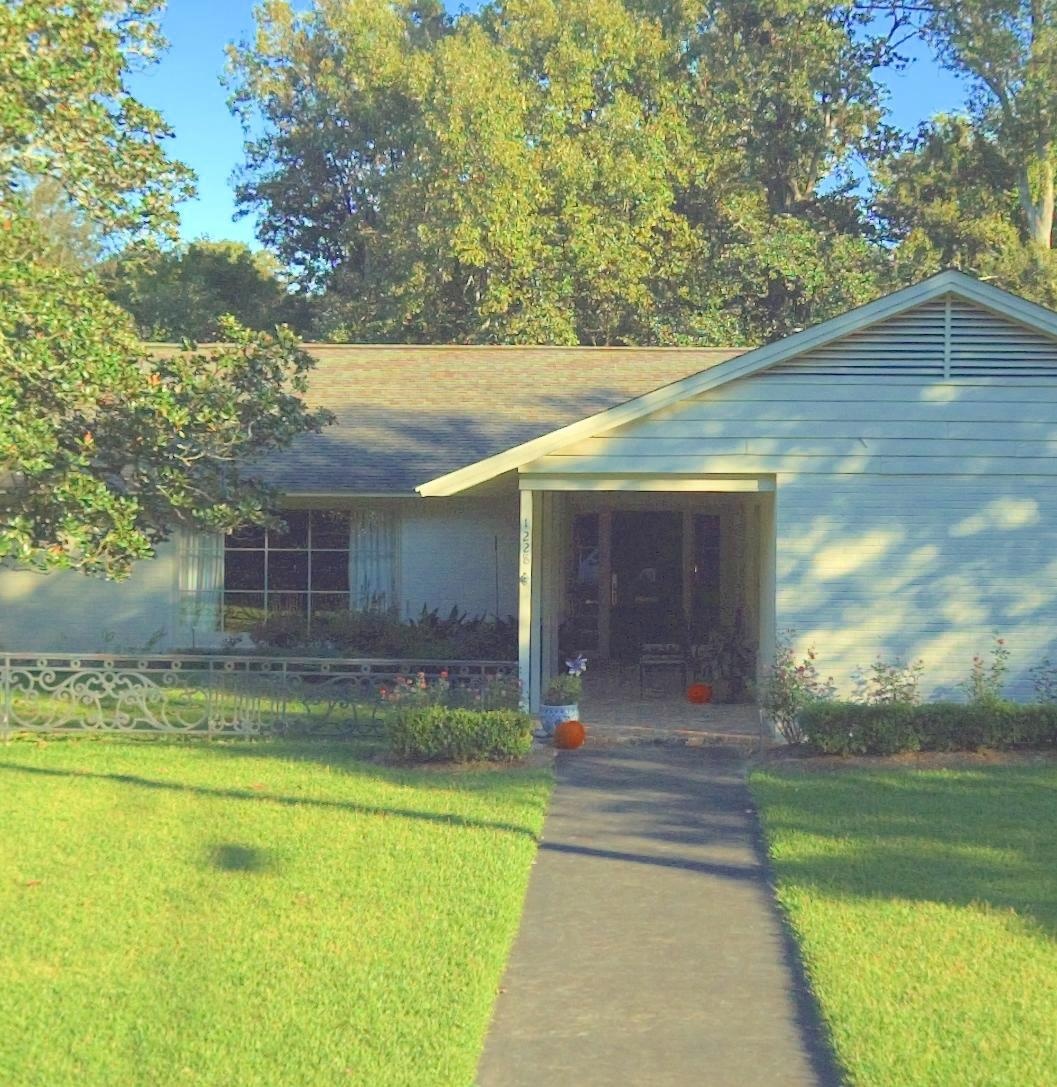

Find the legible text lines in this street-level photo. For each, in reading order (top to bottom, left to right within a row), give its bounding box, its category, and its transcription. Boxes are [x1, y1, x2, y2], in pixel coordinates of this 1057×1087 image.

[521, 516, 532, 567] StreetNumber: 1228